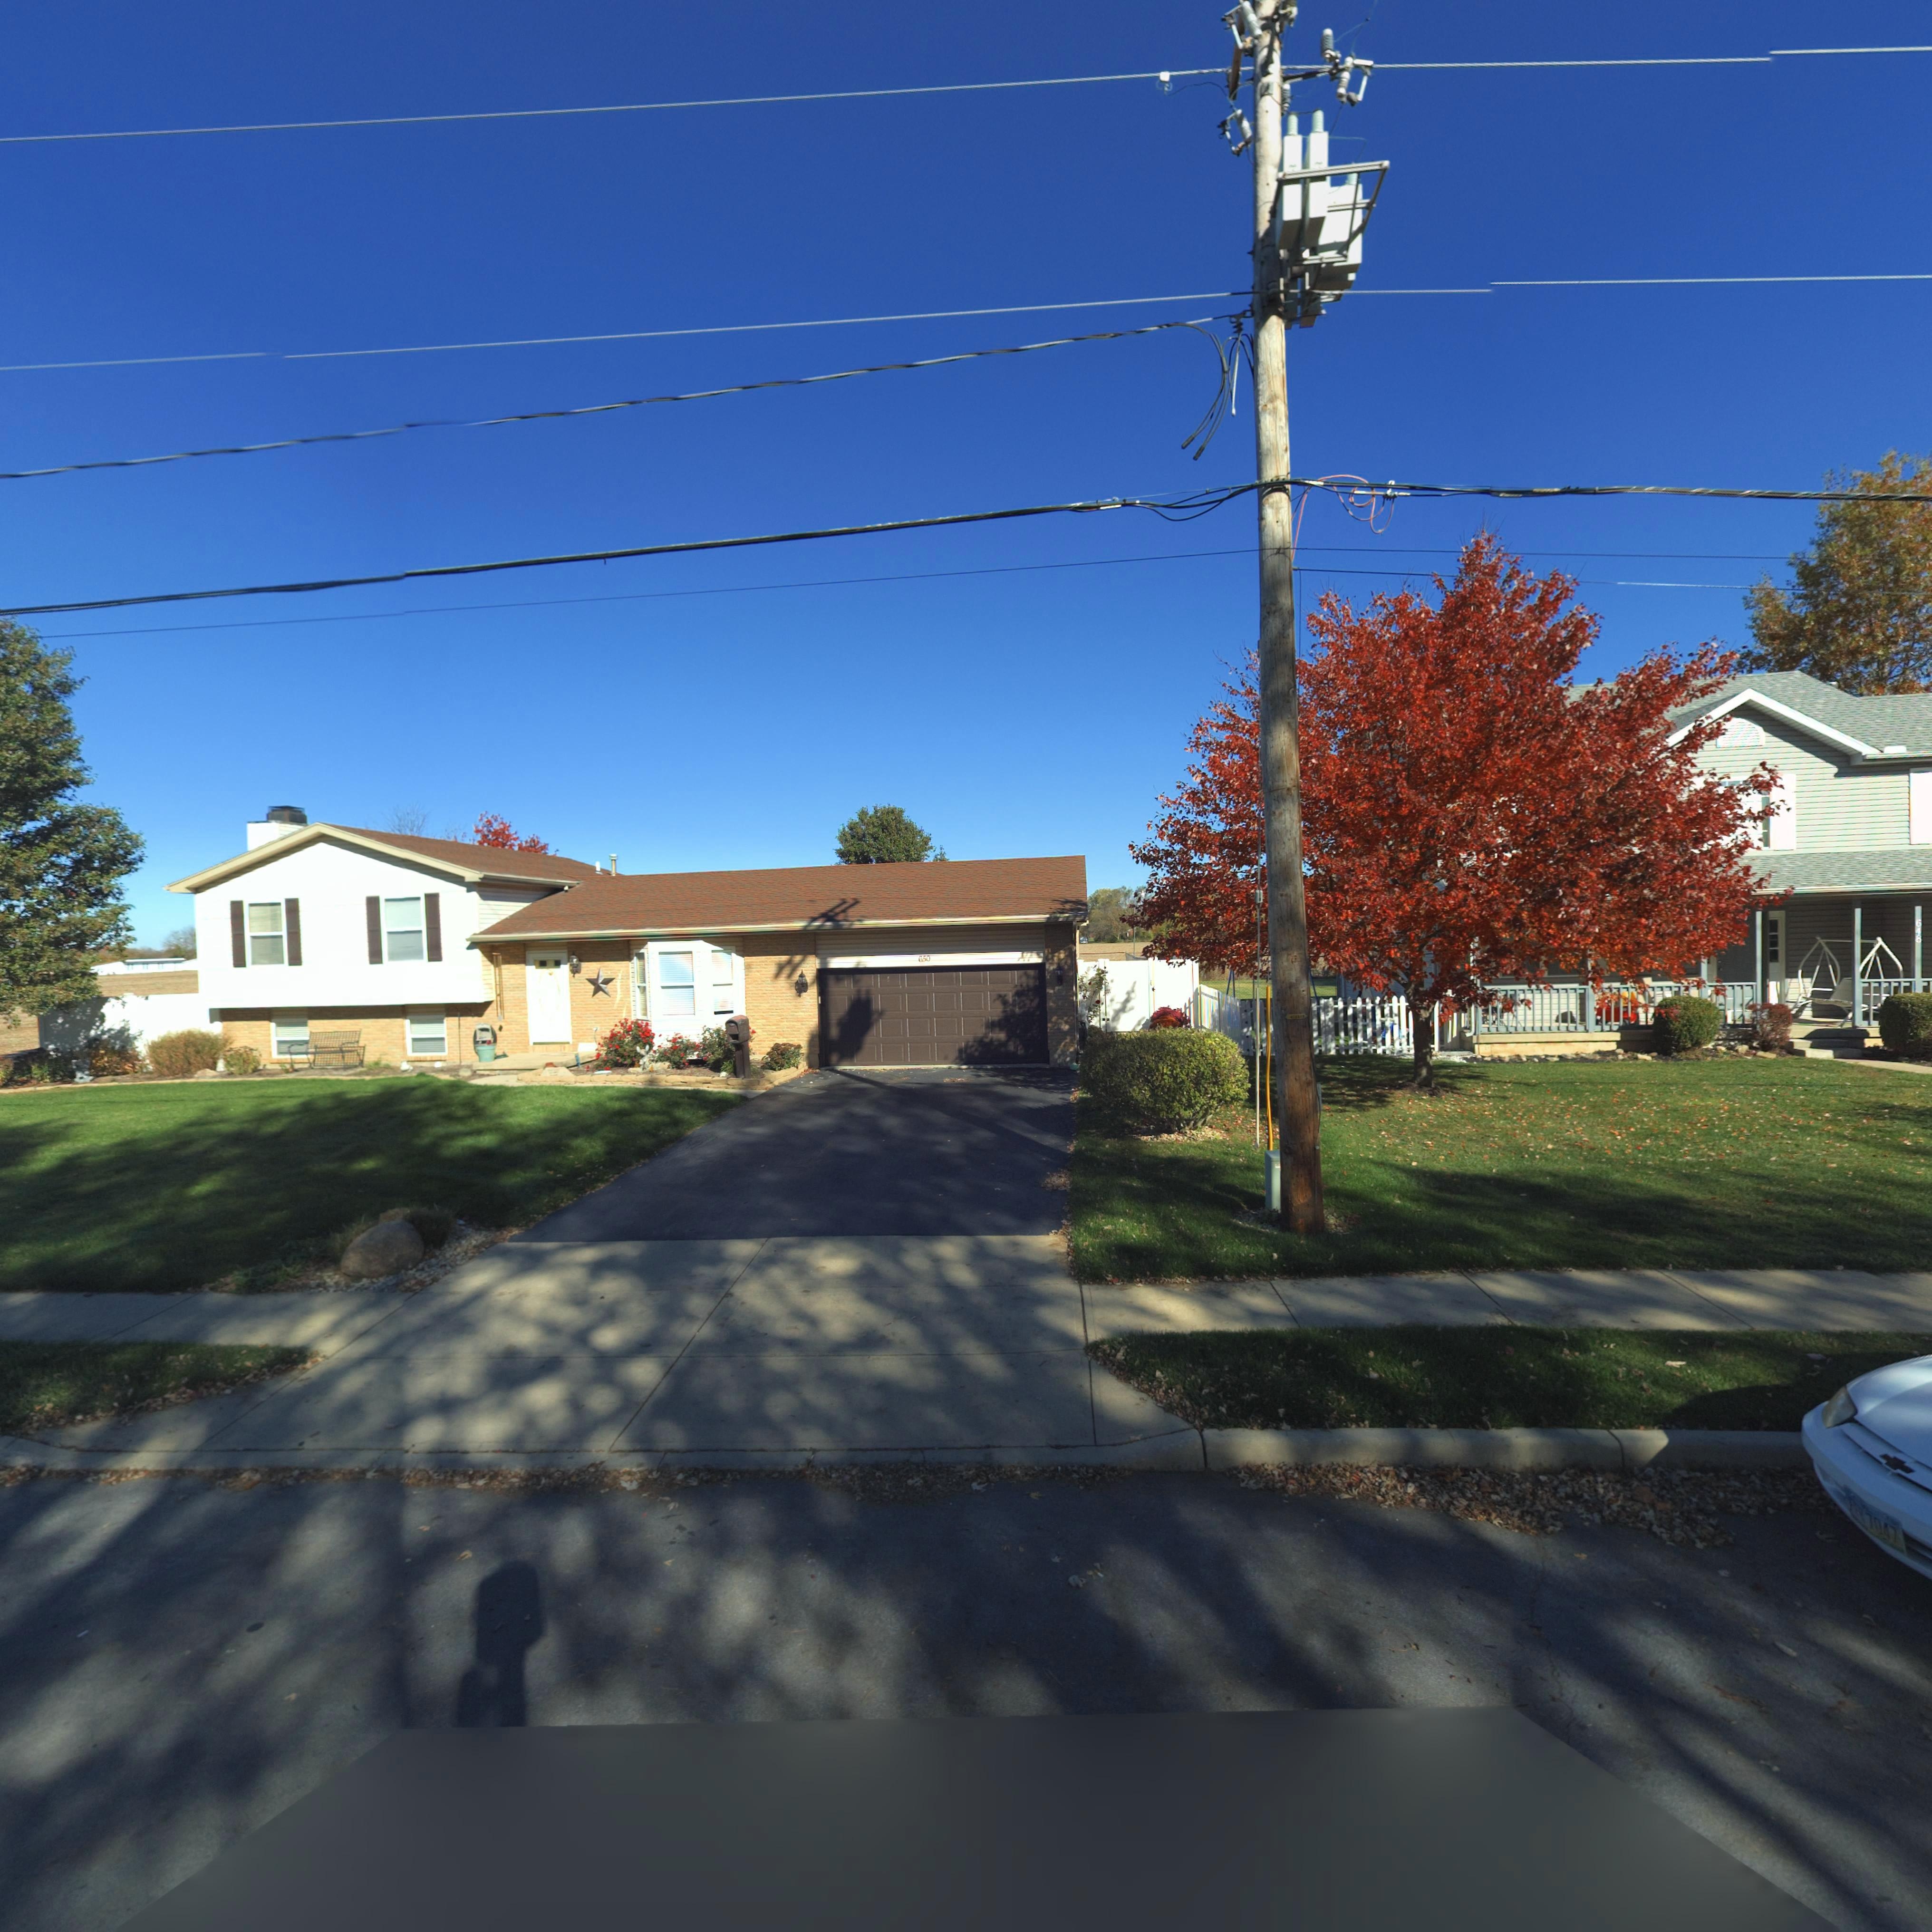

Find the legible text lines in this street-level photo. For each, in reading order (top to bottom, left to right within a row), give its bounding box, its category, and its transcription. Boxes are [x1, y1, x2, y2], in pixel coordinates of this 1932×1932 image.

[1915, 918, 1922, 943] StreetNumber: 648
[918, 955, 931, 963] StreetNumber: 650